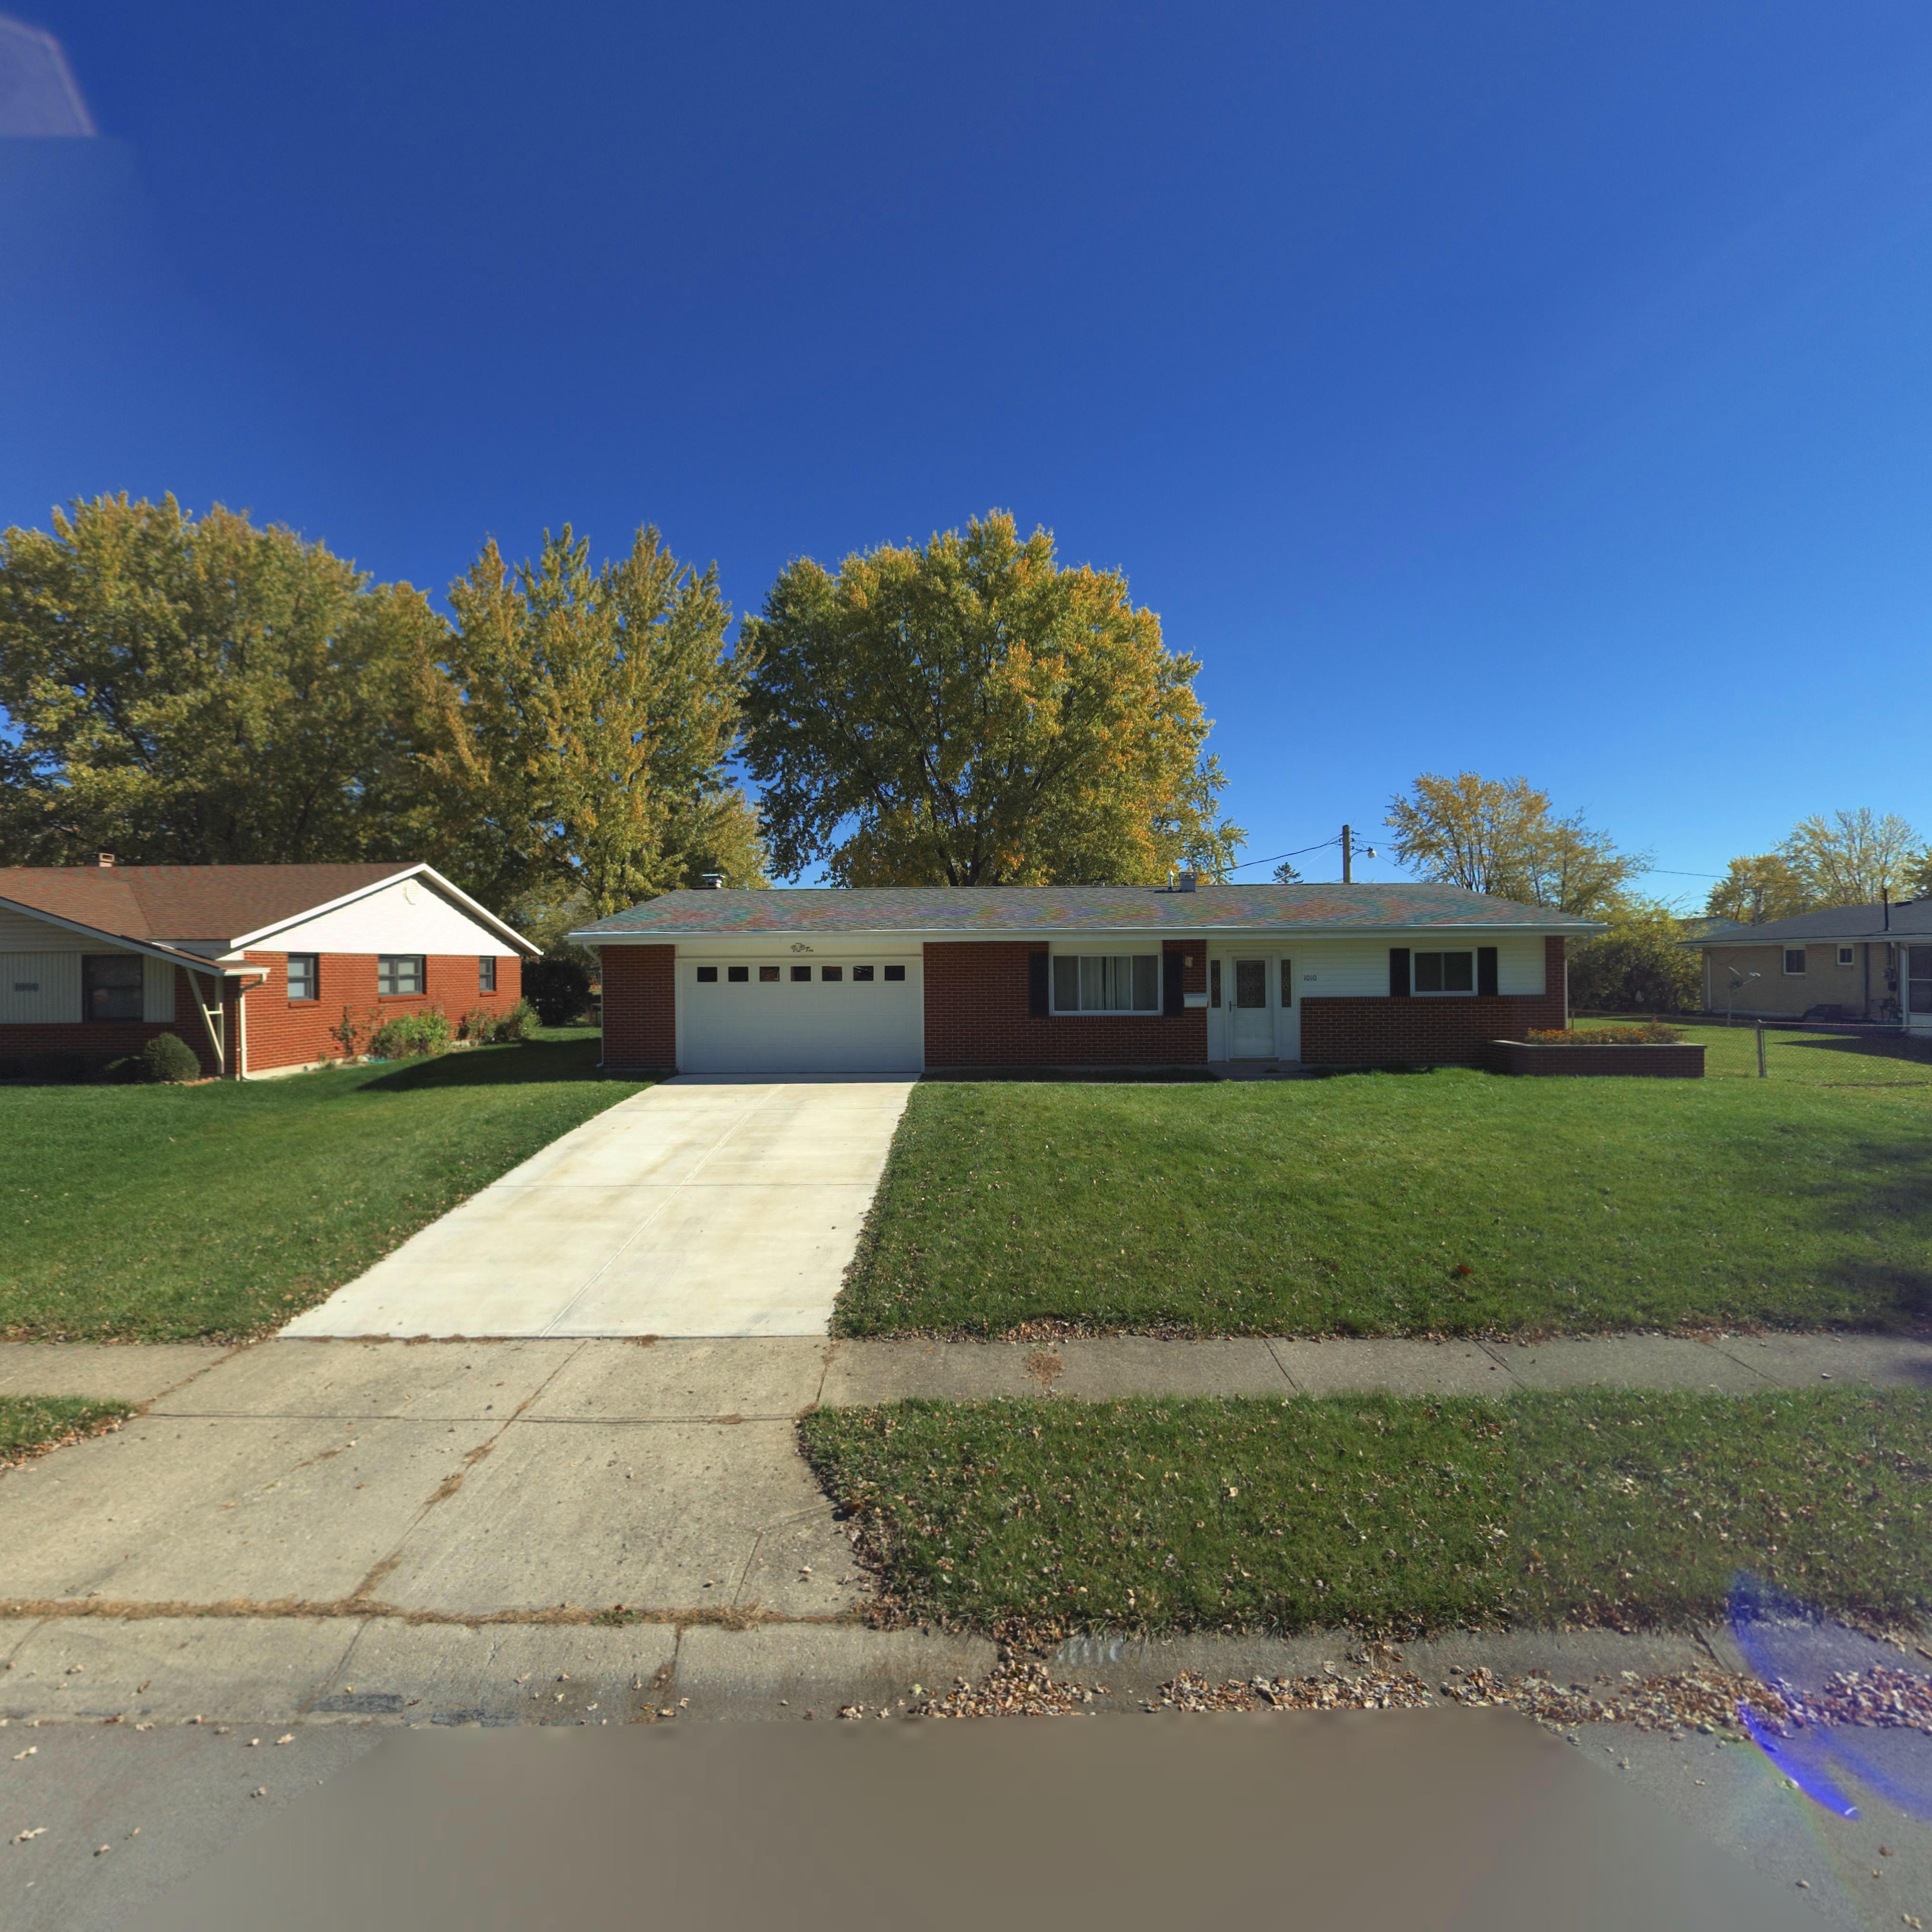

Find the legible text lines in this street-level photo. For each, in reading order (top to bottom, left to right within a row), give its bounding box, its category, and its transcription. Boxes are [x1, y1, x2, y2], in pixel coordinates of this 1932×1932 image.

[805, 946, 814, 953] StreetNumber: Ten
[1304, 975, 1317, 981] StreetNumber: 1010
[14, 981, 39, 992] StreetNumber: 100*
[1068, 1633, 1104, 1670] StreetNumber: 10